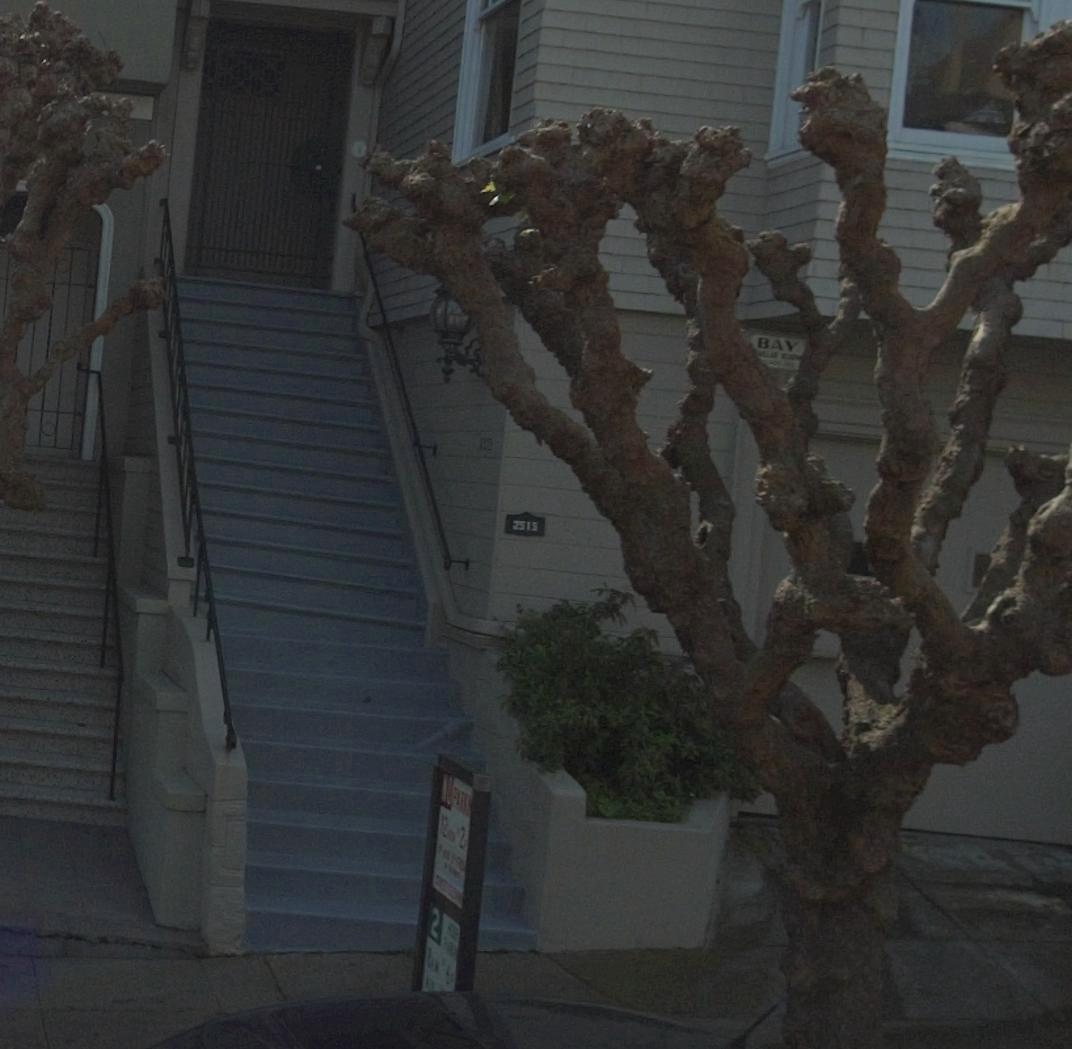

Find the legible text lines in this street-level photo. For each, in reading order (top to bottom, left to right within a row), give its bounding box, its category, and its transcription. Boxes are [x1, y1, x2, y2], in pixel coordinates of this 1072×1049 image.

[755, 333, 803, 354] None: BAY
[511, 517, 540, 533] StreetNumber: 2515
[438, 810, 451, 842] None: 12
[457, 822, 468, 852] None: 2
[427, 904, 443, 941] None: 2